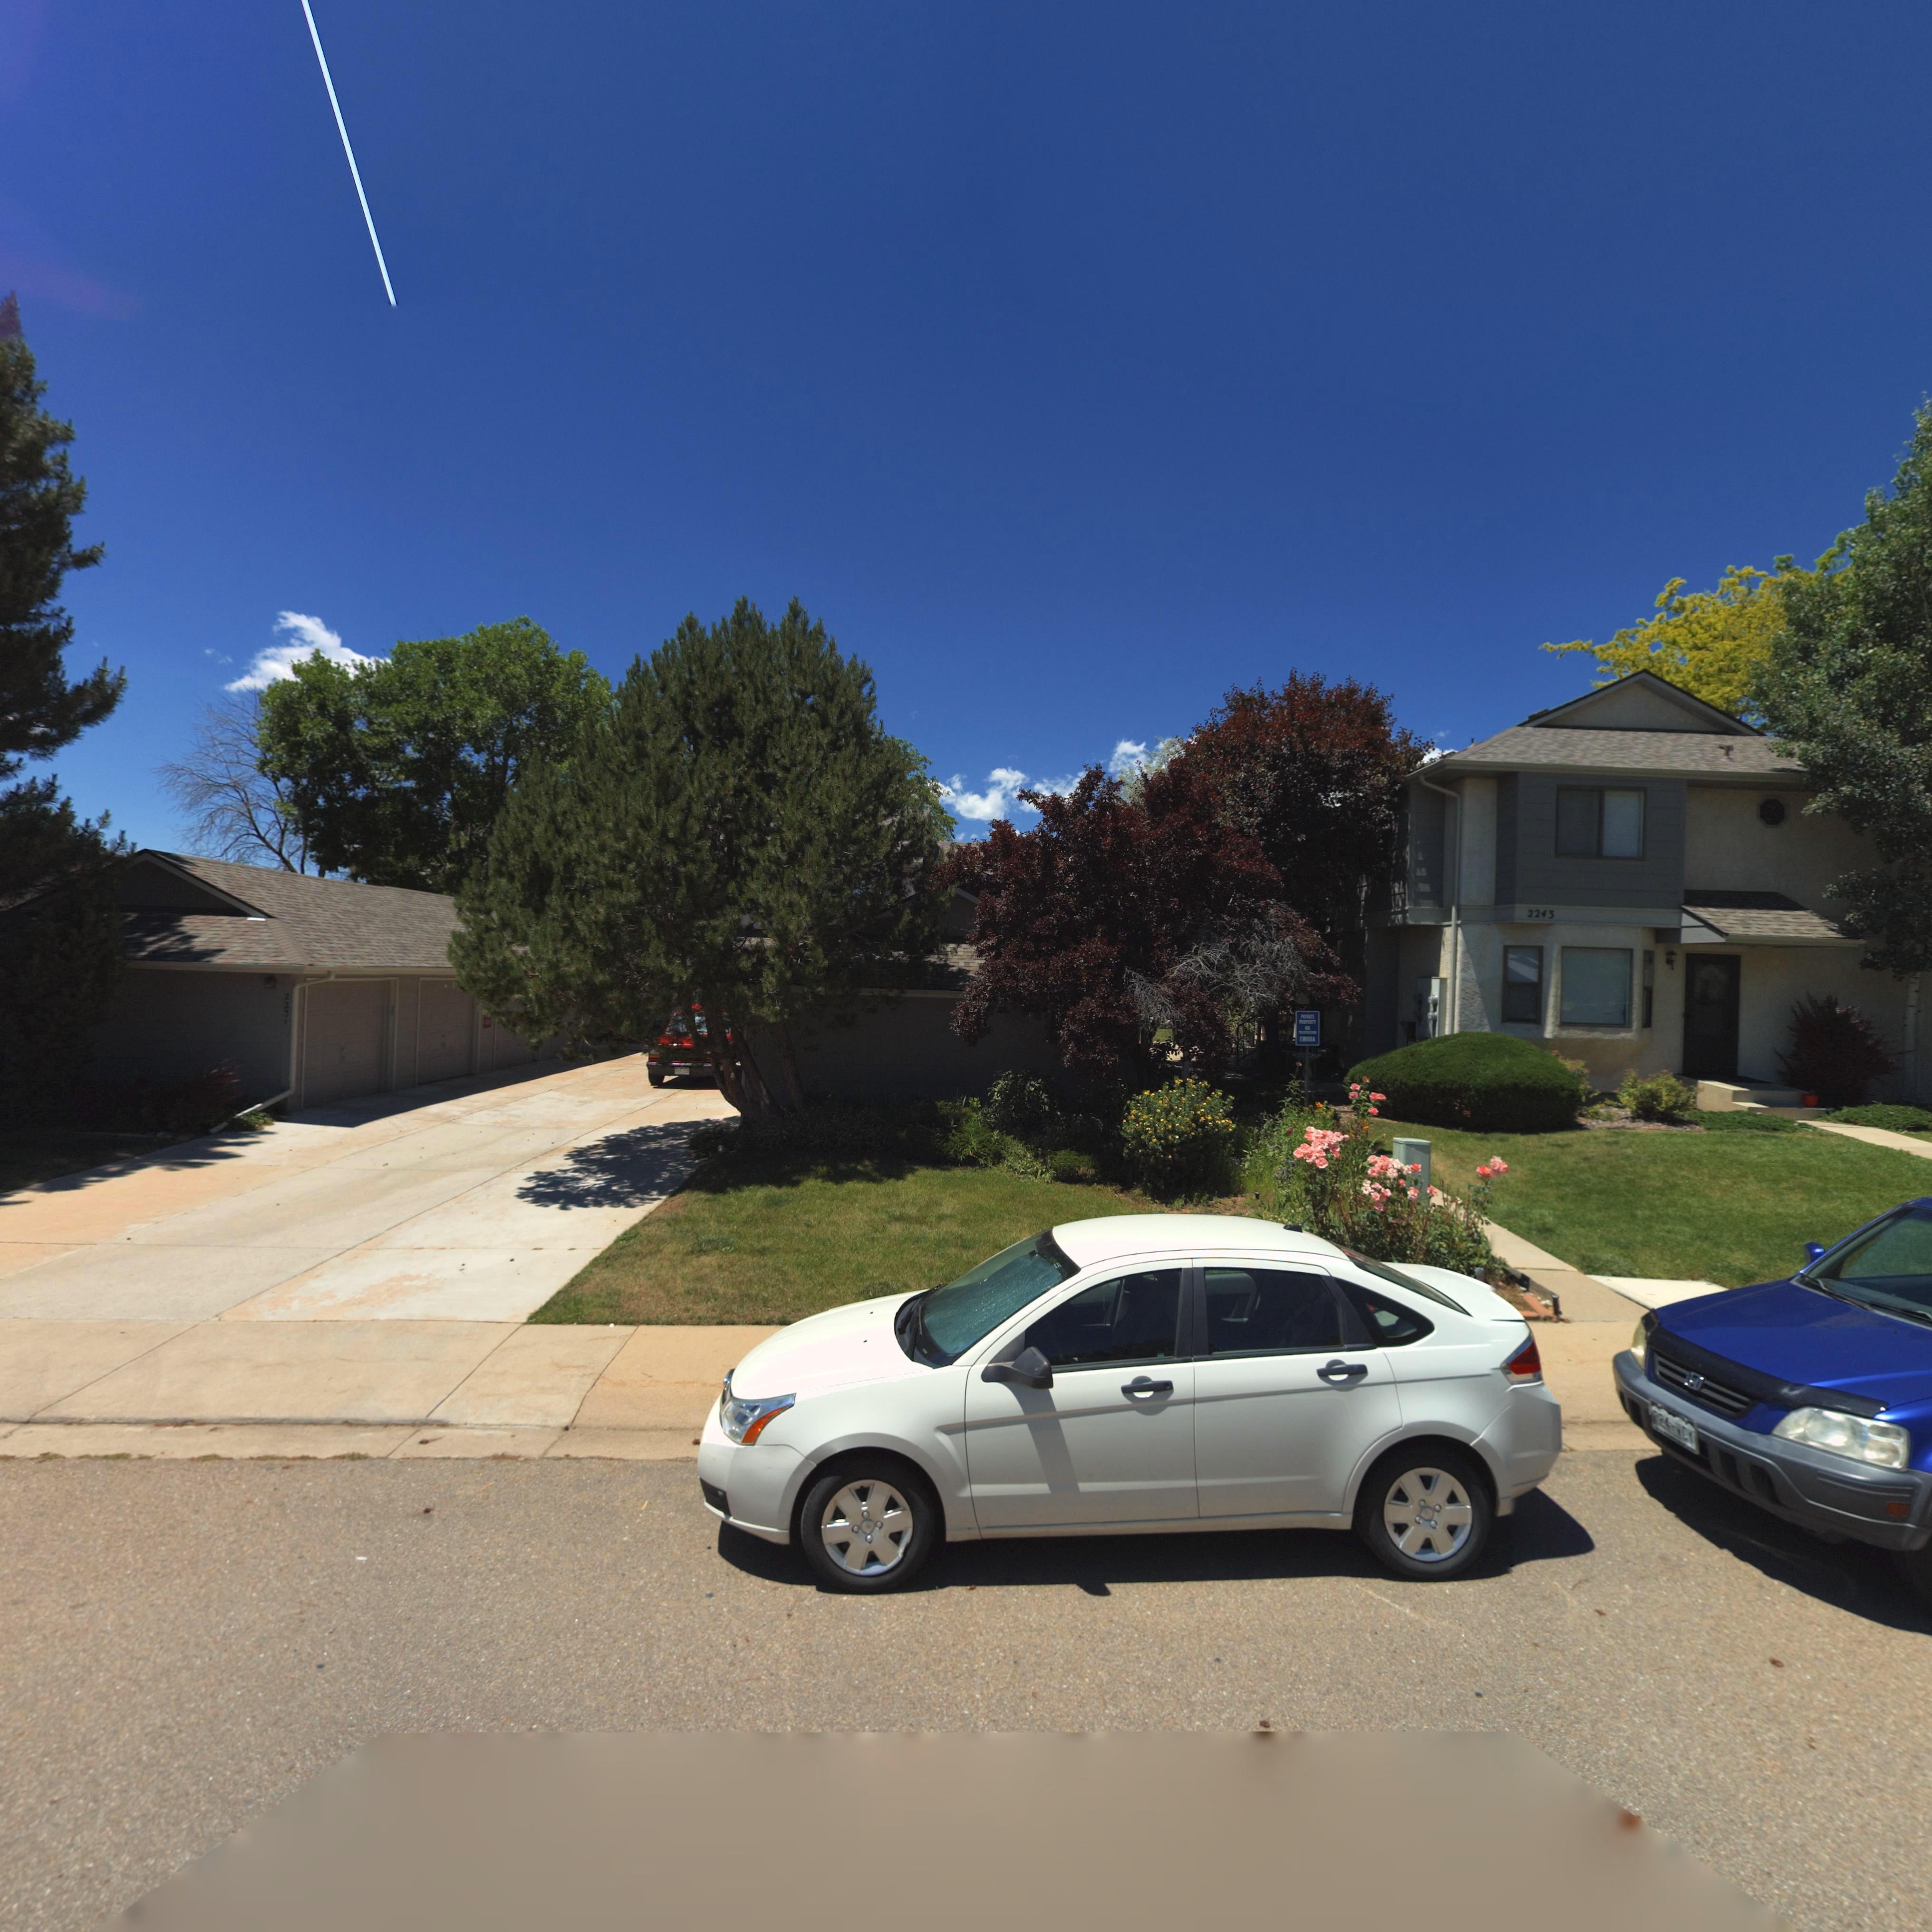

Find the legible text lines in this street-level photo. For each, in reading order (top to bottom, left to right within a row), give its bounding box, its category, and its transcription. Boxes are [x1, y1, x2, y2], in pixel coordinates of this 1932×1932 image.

[1526, 908, 1555, 918] StreetNumber: 2243
[283, 991, 290, 1024] StreetNumber: 2231